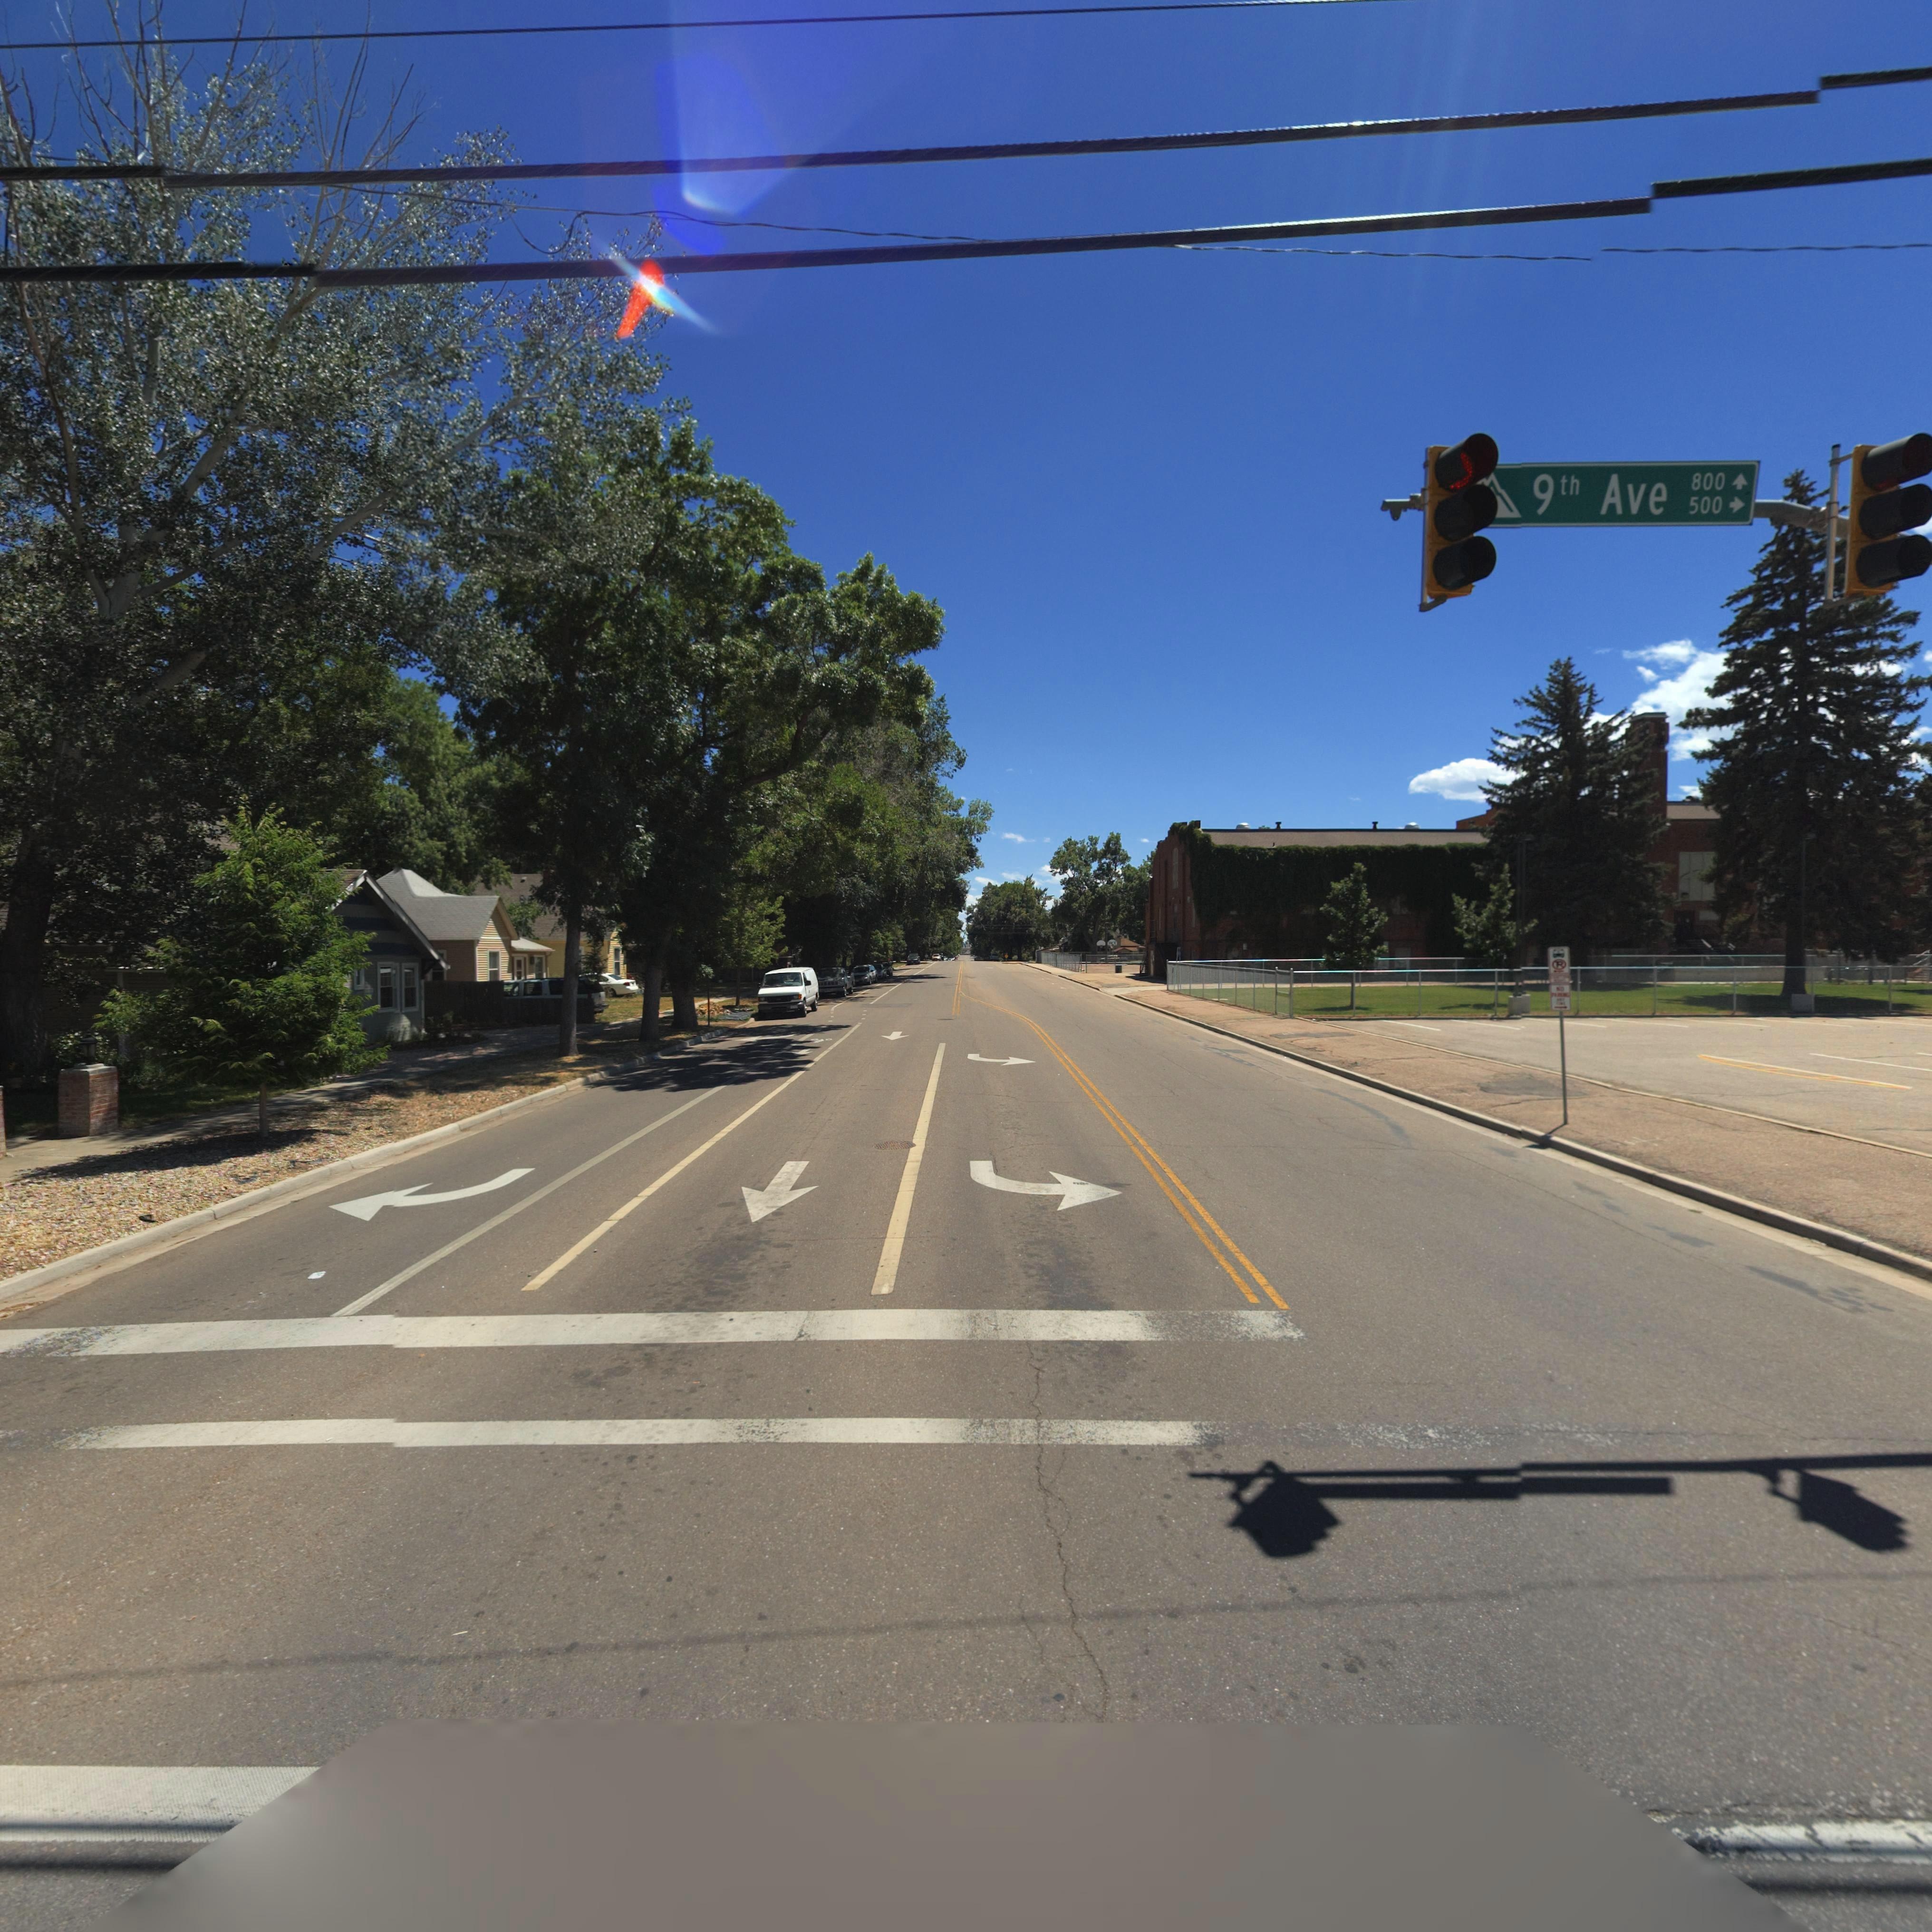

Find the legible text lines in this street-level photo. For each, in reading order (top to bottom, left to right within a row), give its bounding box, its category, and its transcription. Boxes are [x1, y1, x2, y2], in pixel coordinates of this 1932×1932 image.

[1690, 471, 1726, 492] StreetNumberRange: 800
[1532, 472, 1669, 517] StreetName: 9th Ave
[1688, 495, 1746, 515] StreetNumberRange: 500 ->